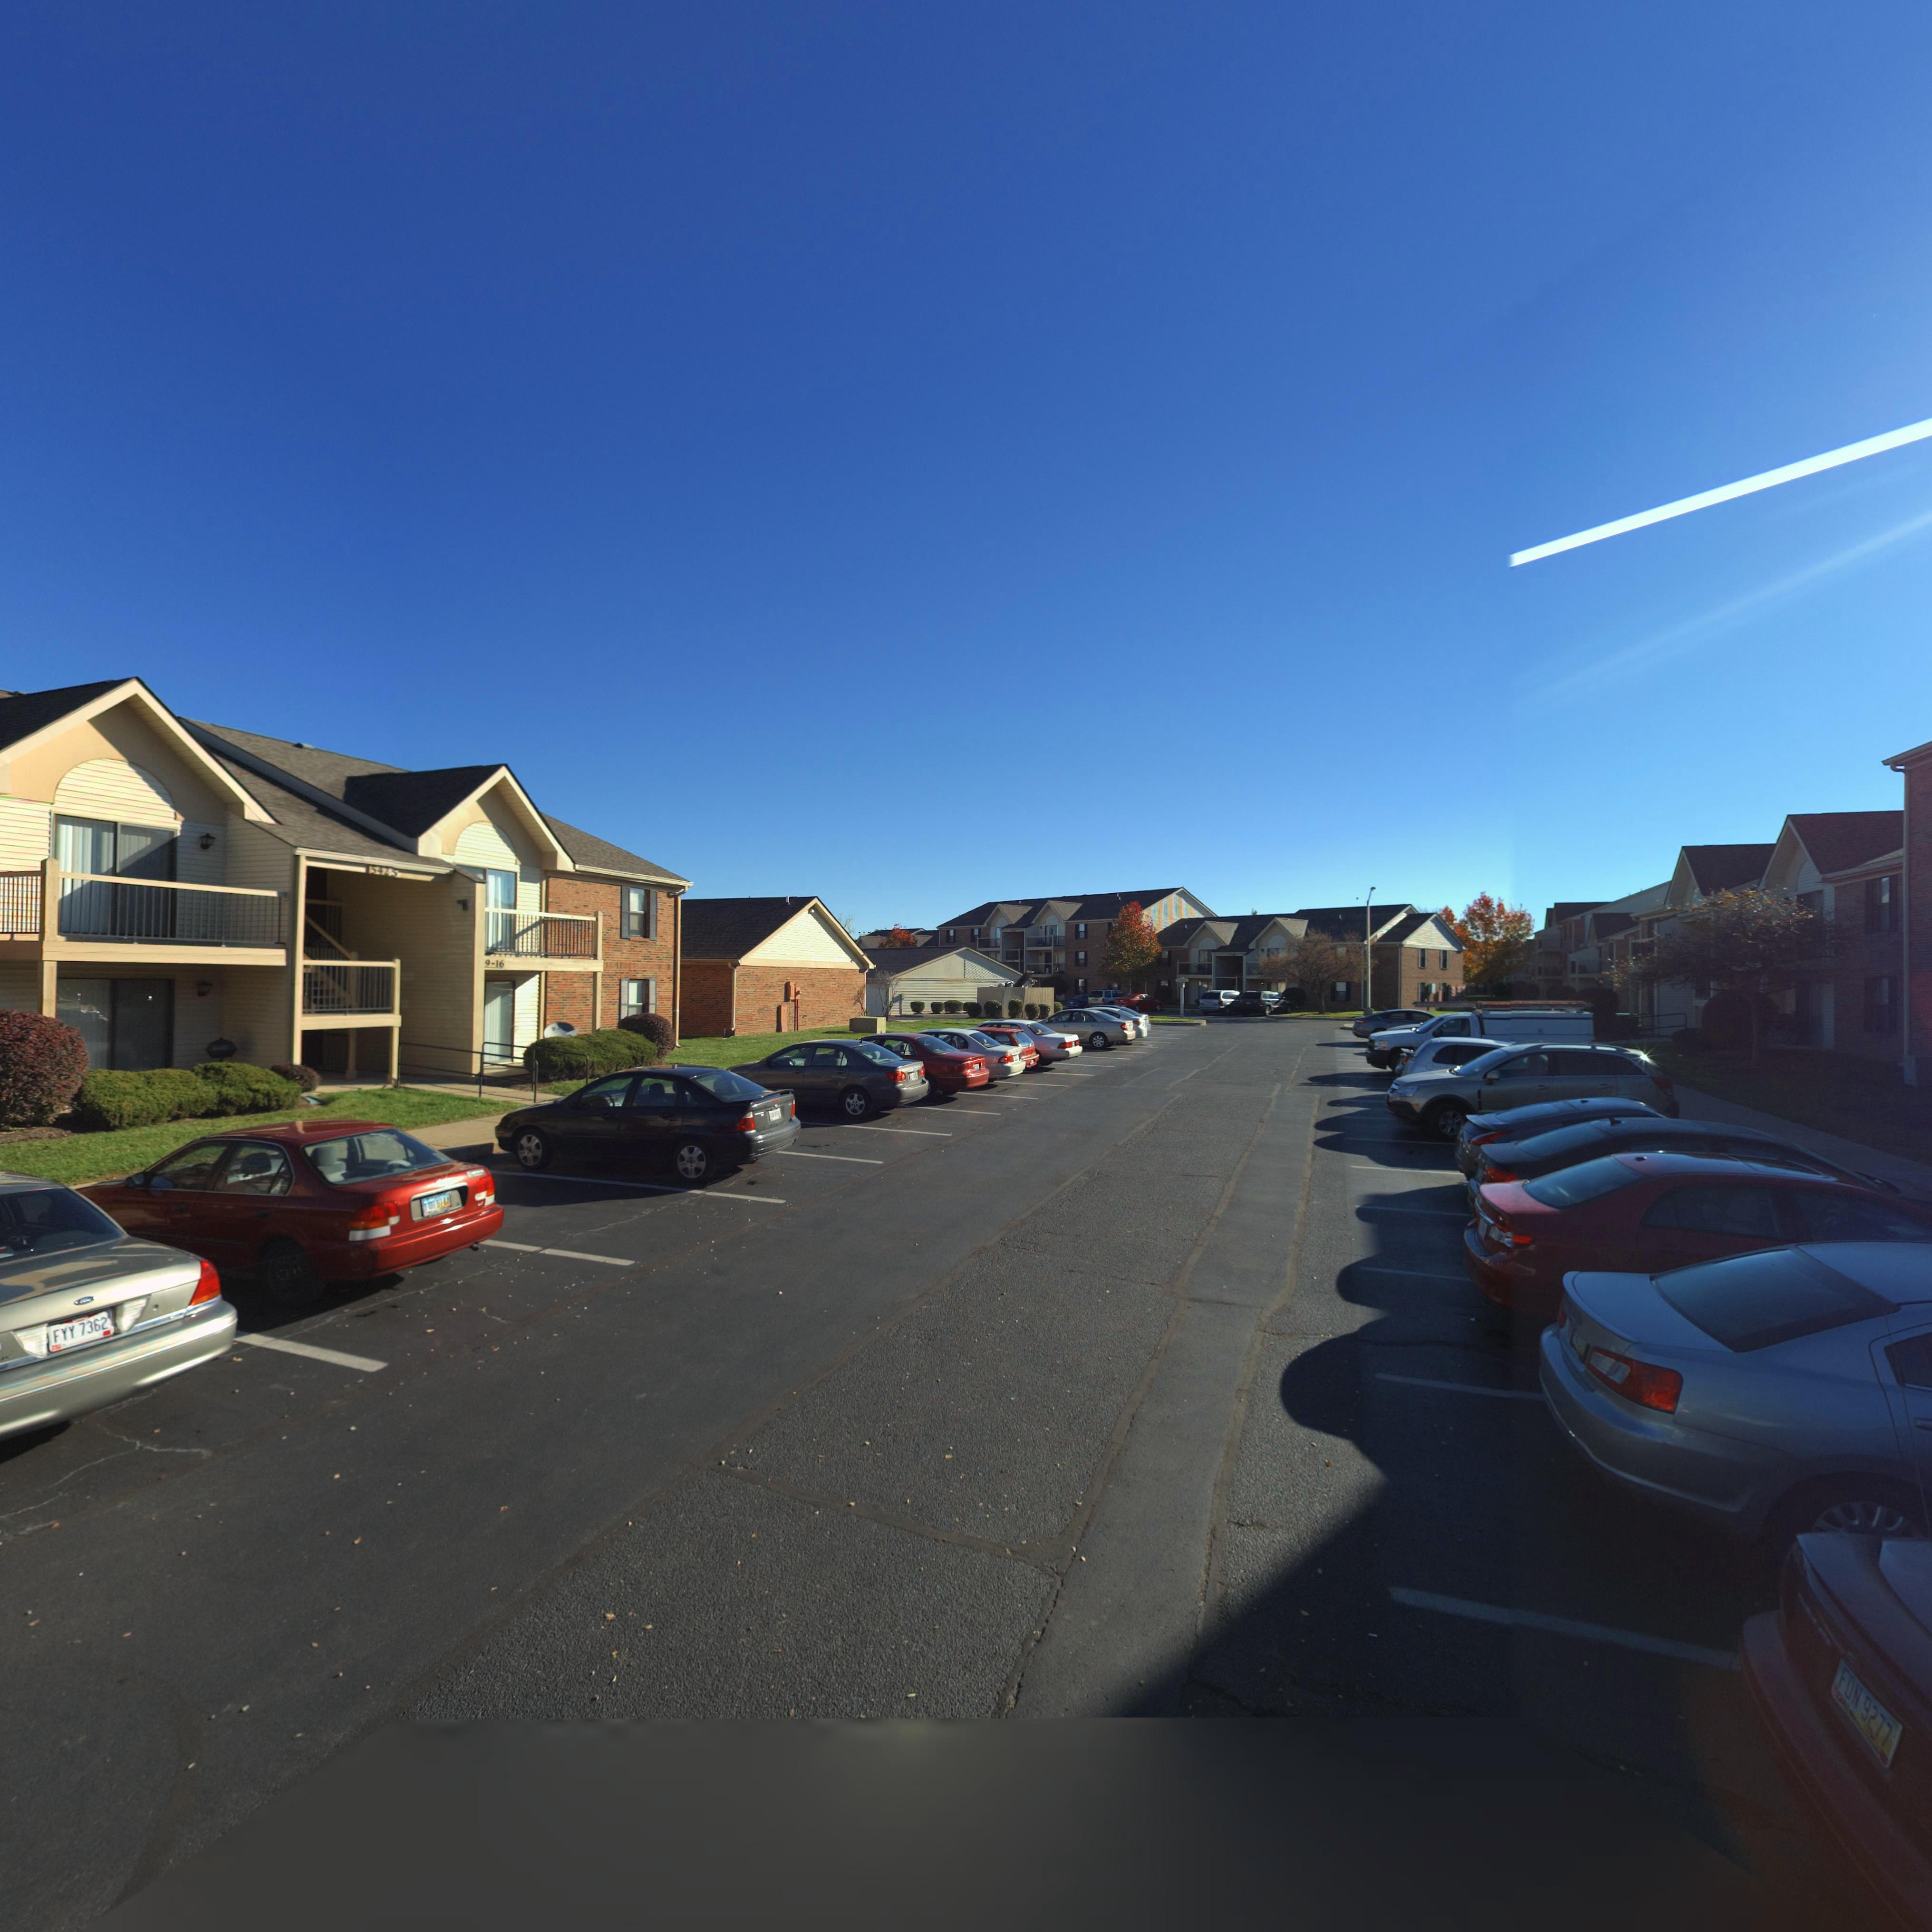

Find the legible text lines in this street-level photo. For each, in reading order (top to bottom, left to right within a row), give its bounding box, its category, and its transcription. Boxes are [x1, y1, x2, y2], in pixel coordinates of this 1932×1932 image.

[370, 865, 398, 878] StreetNumber: 5225
[484, 958, 504, 968] StreetNumber: 9-16